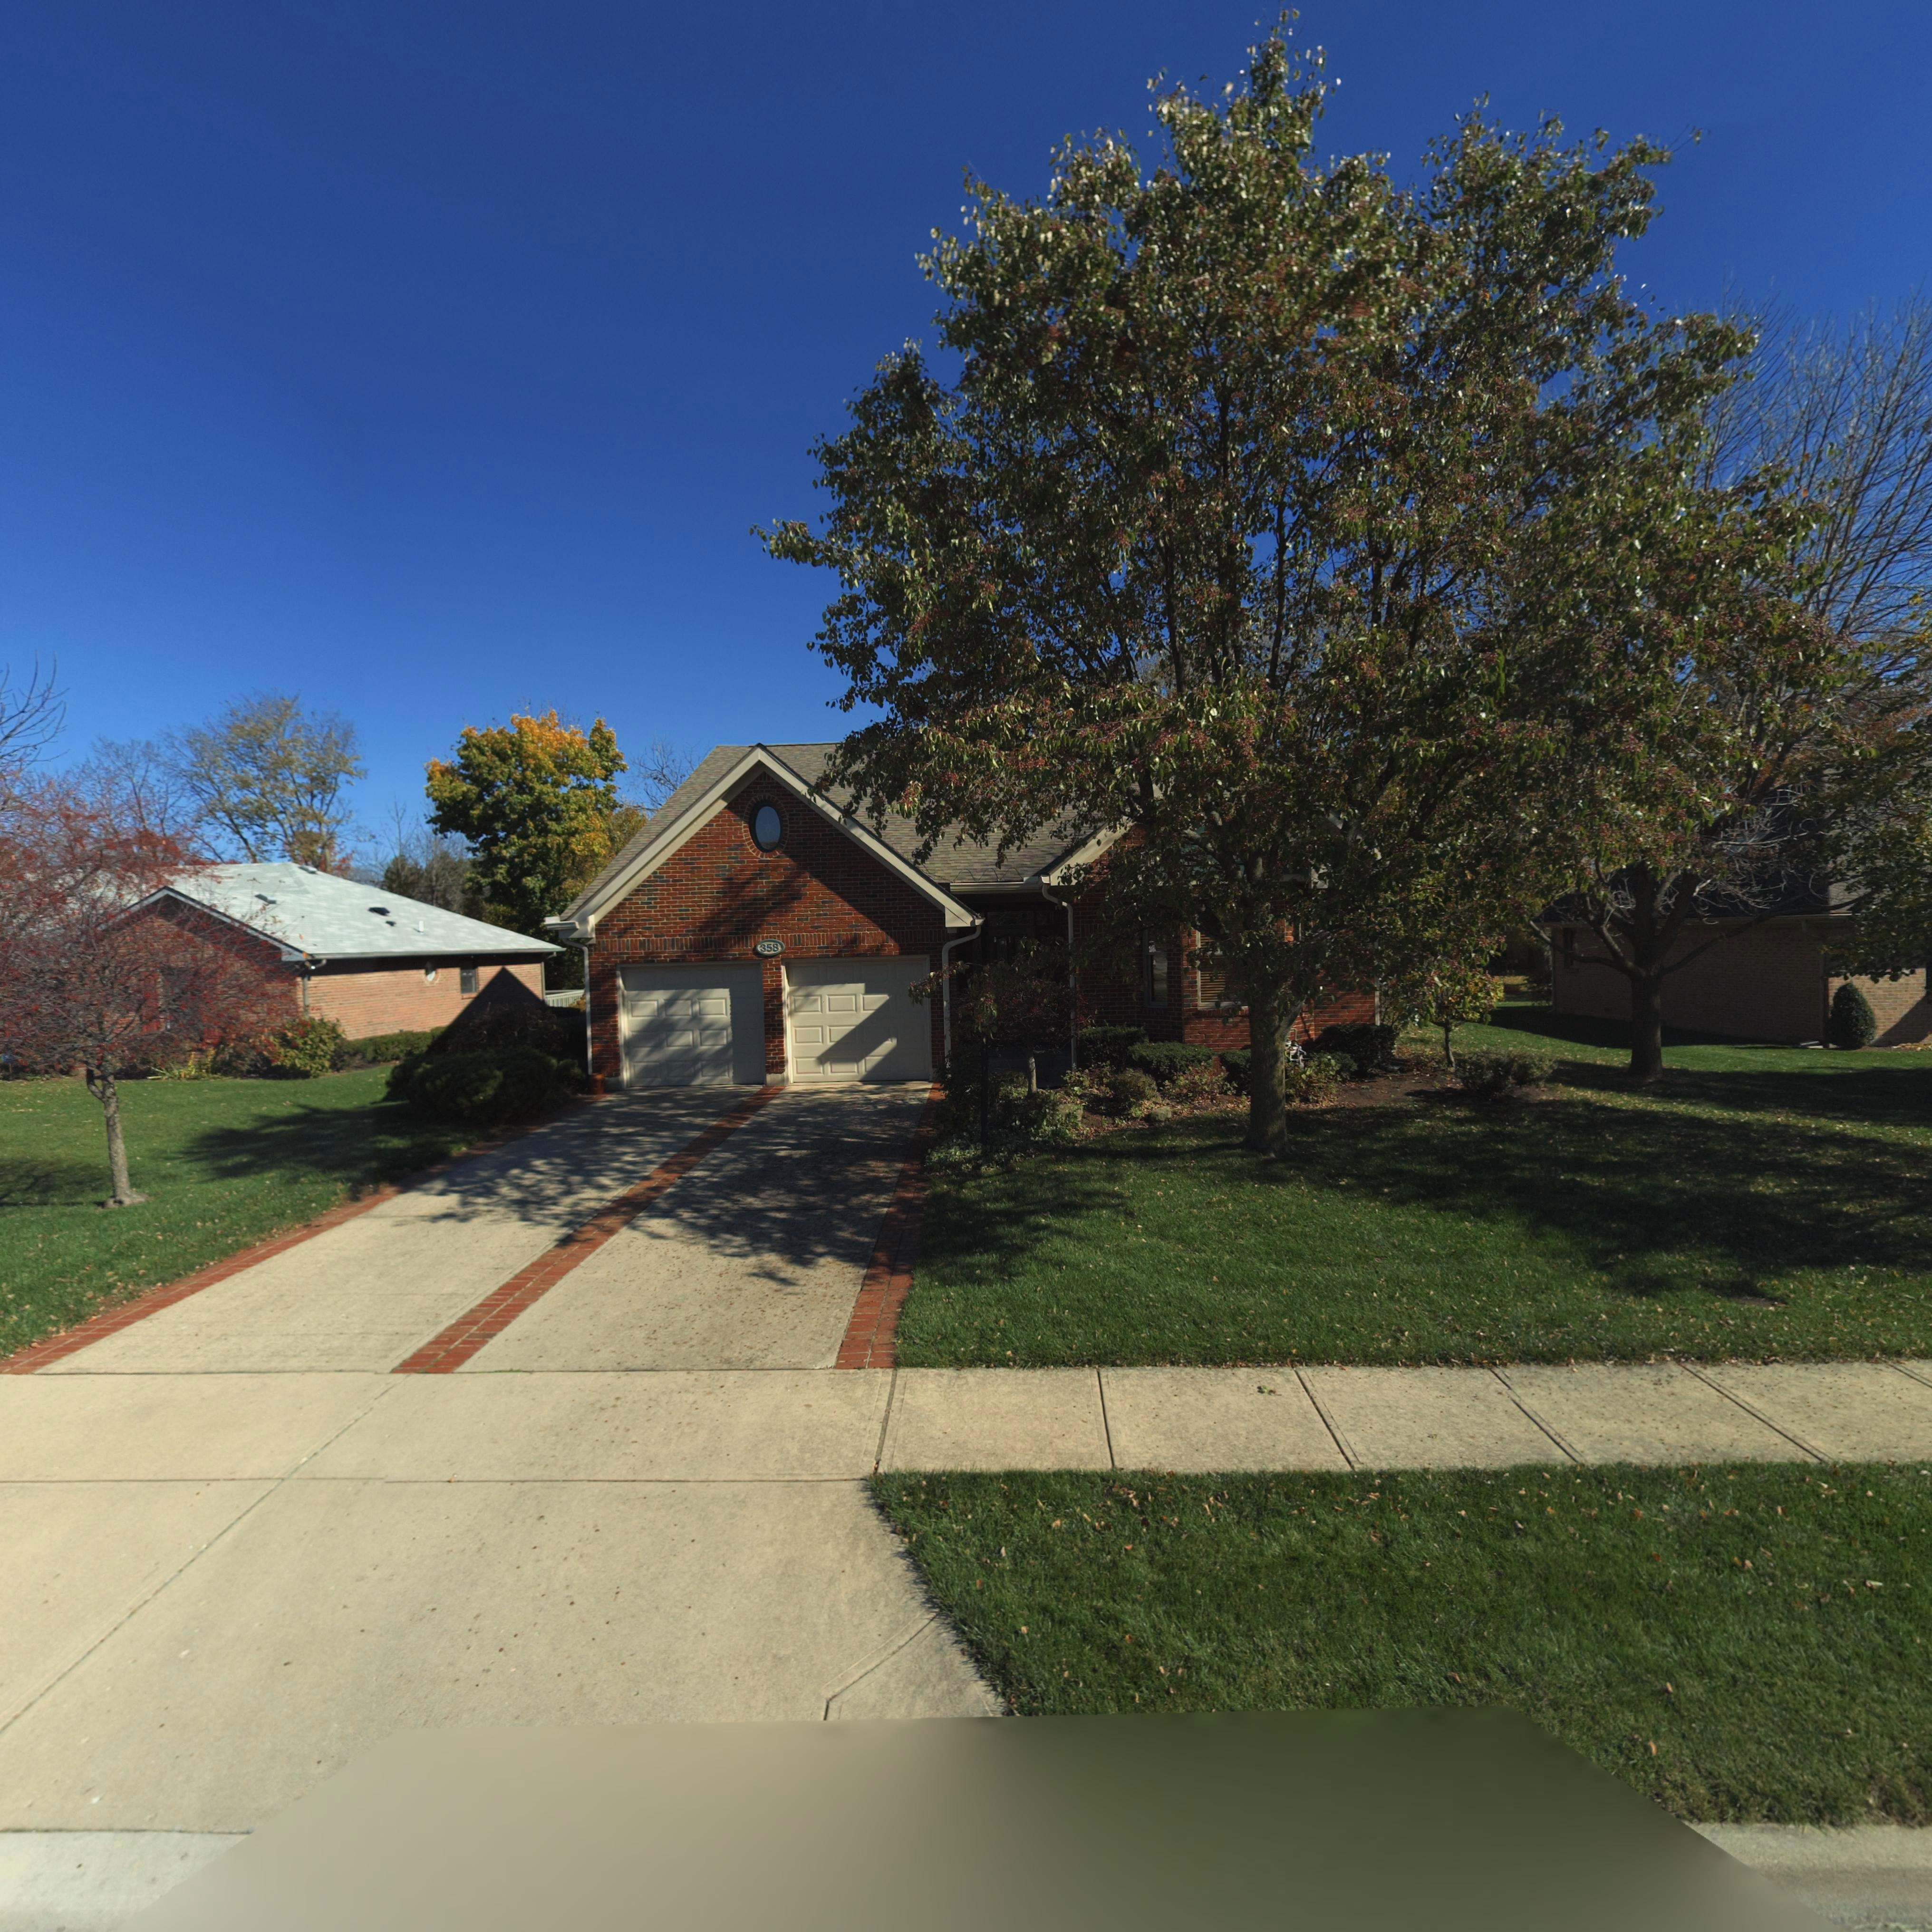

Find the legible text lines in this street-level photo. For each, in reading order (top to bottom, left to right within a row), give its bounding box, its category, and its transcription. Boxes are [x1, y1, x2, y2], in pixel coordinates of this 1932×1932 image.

[759, 943, 780, 953] StreetNumber: 358